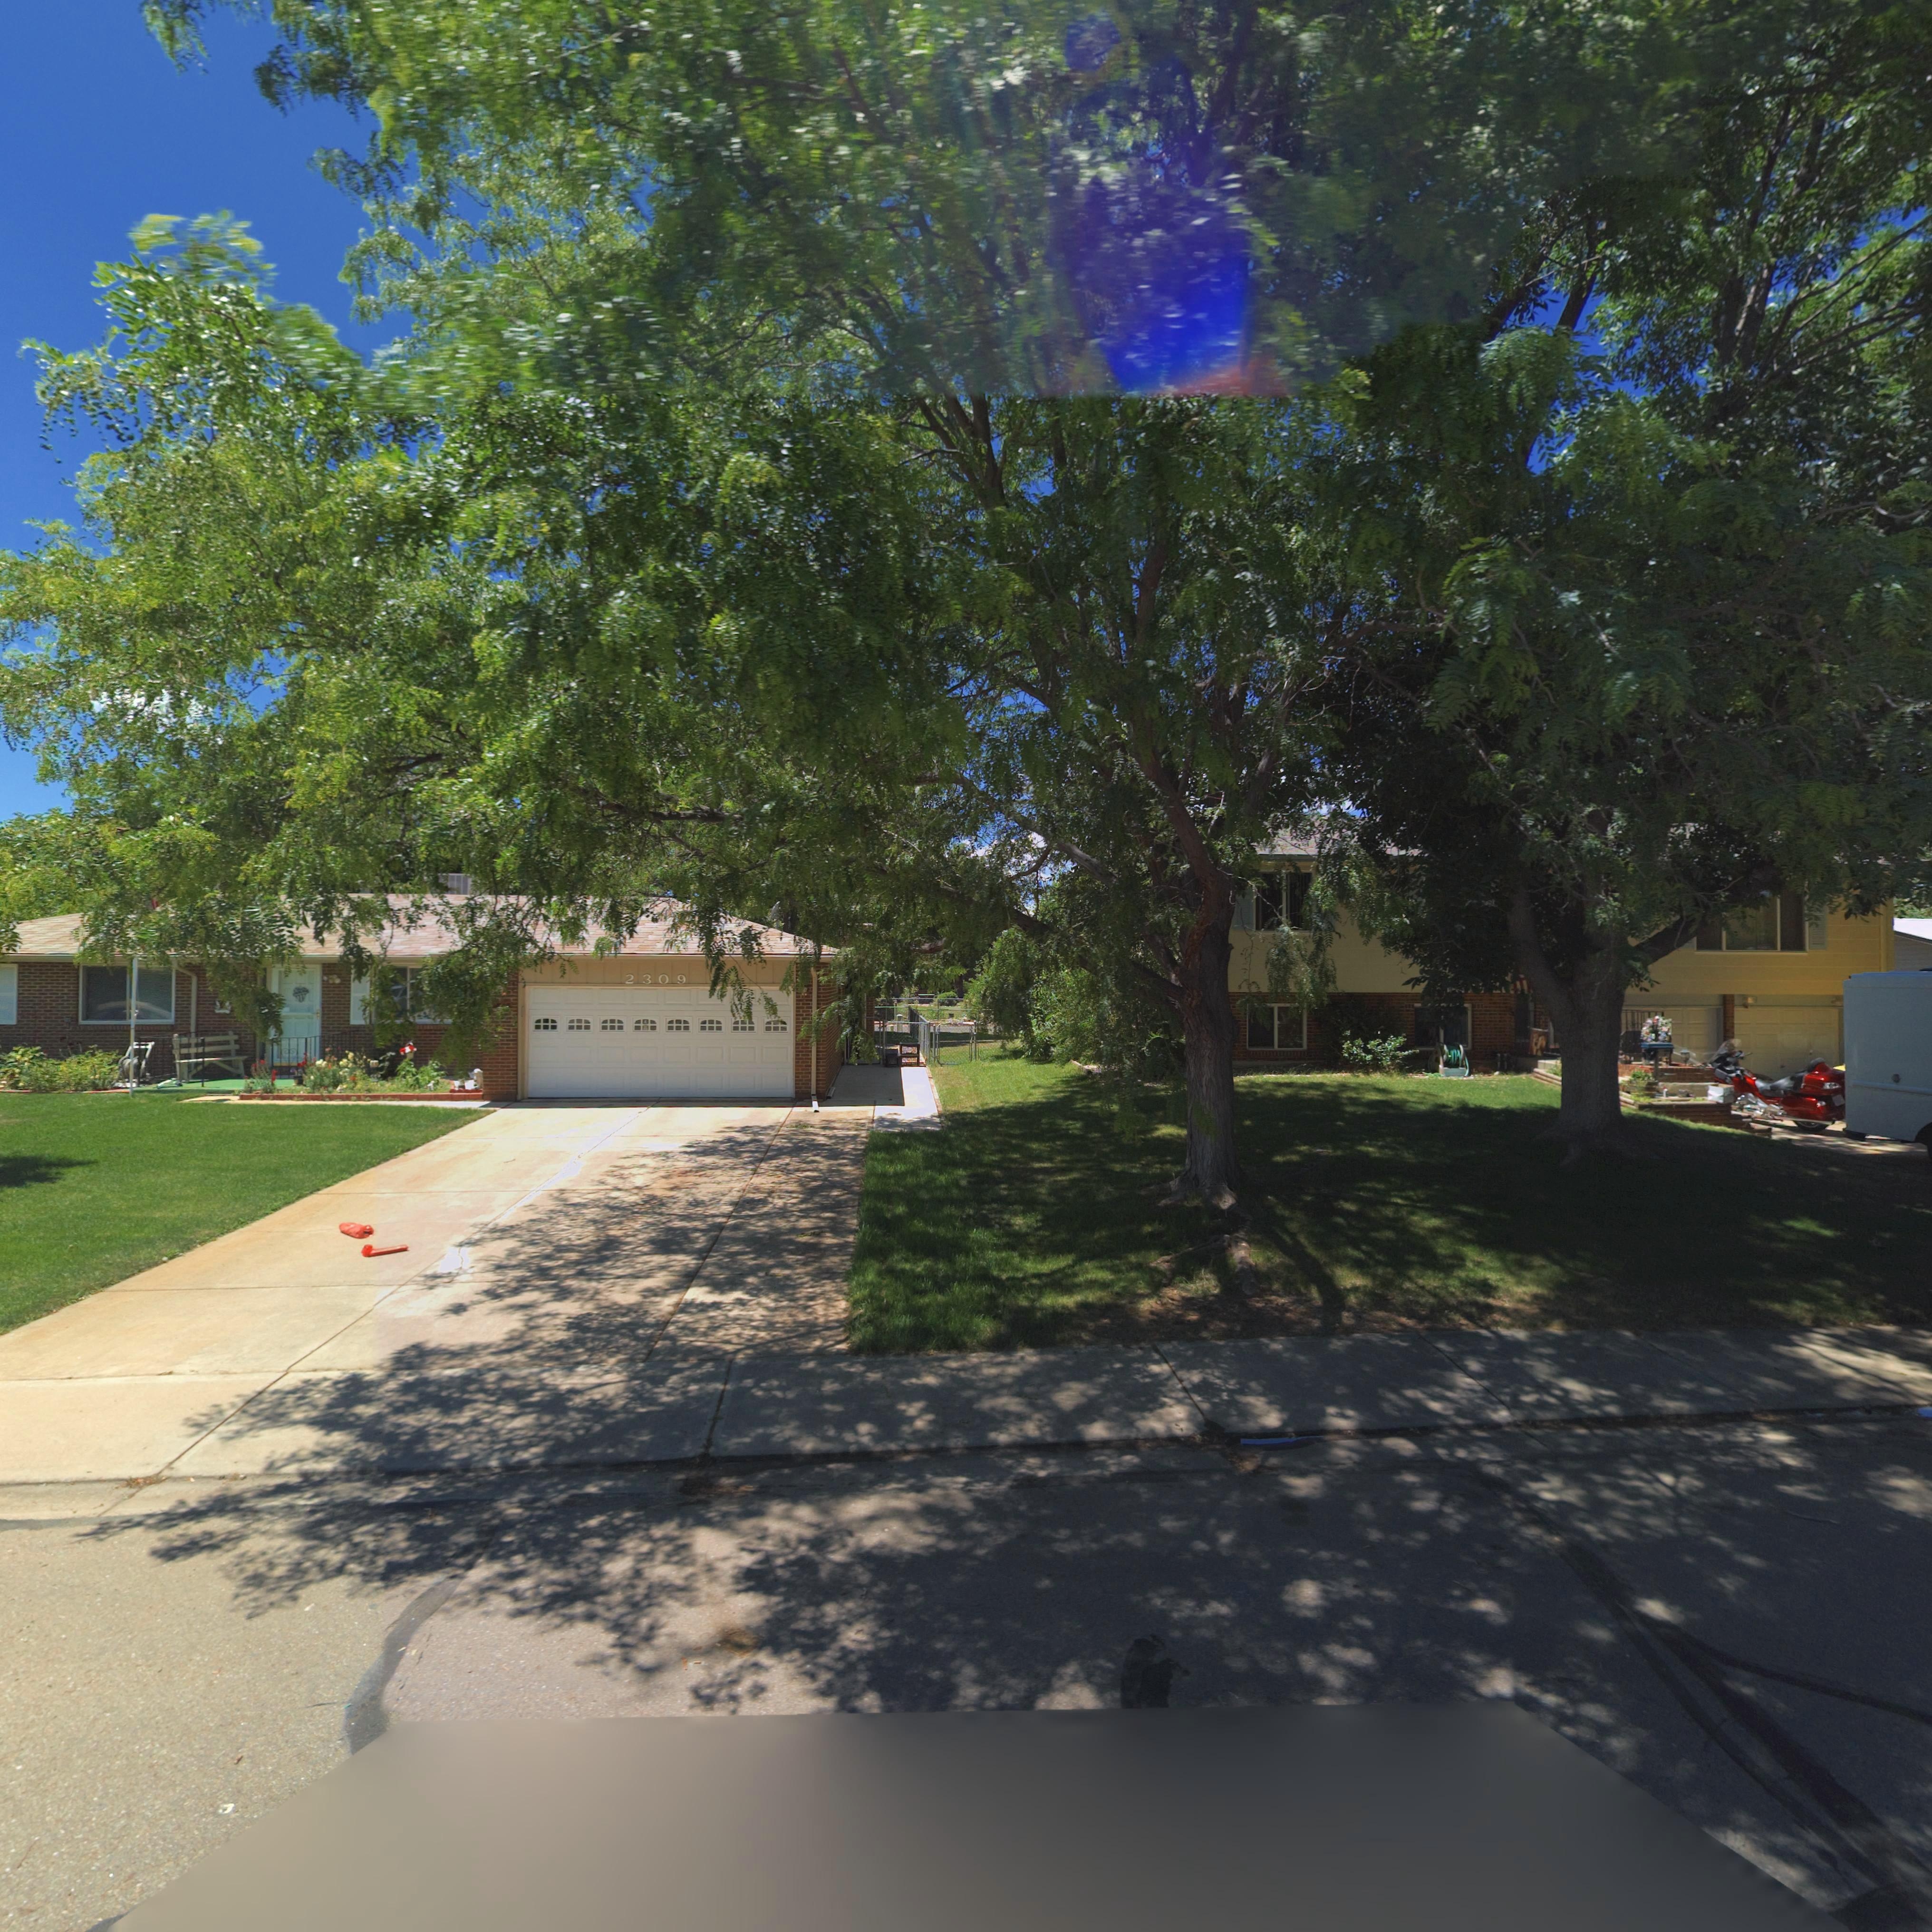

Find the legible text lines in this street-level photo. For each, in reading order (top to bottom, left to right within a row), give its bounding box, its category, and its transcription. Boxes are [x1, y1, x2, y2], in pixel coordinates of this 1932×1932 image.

[625, 975, 686, 984] StreetNumber: 2309